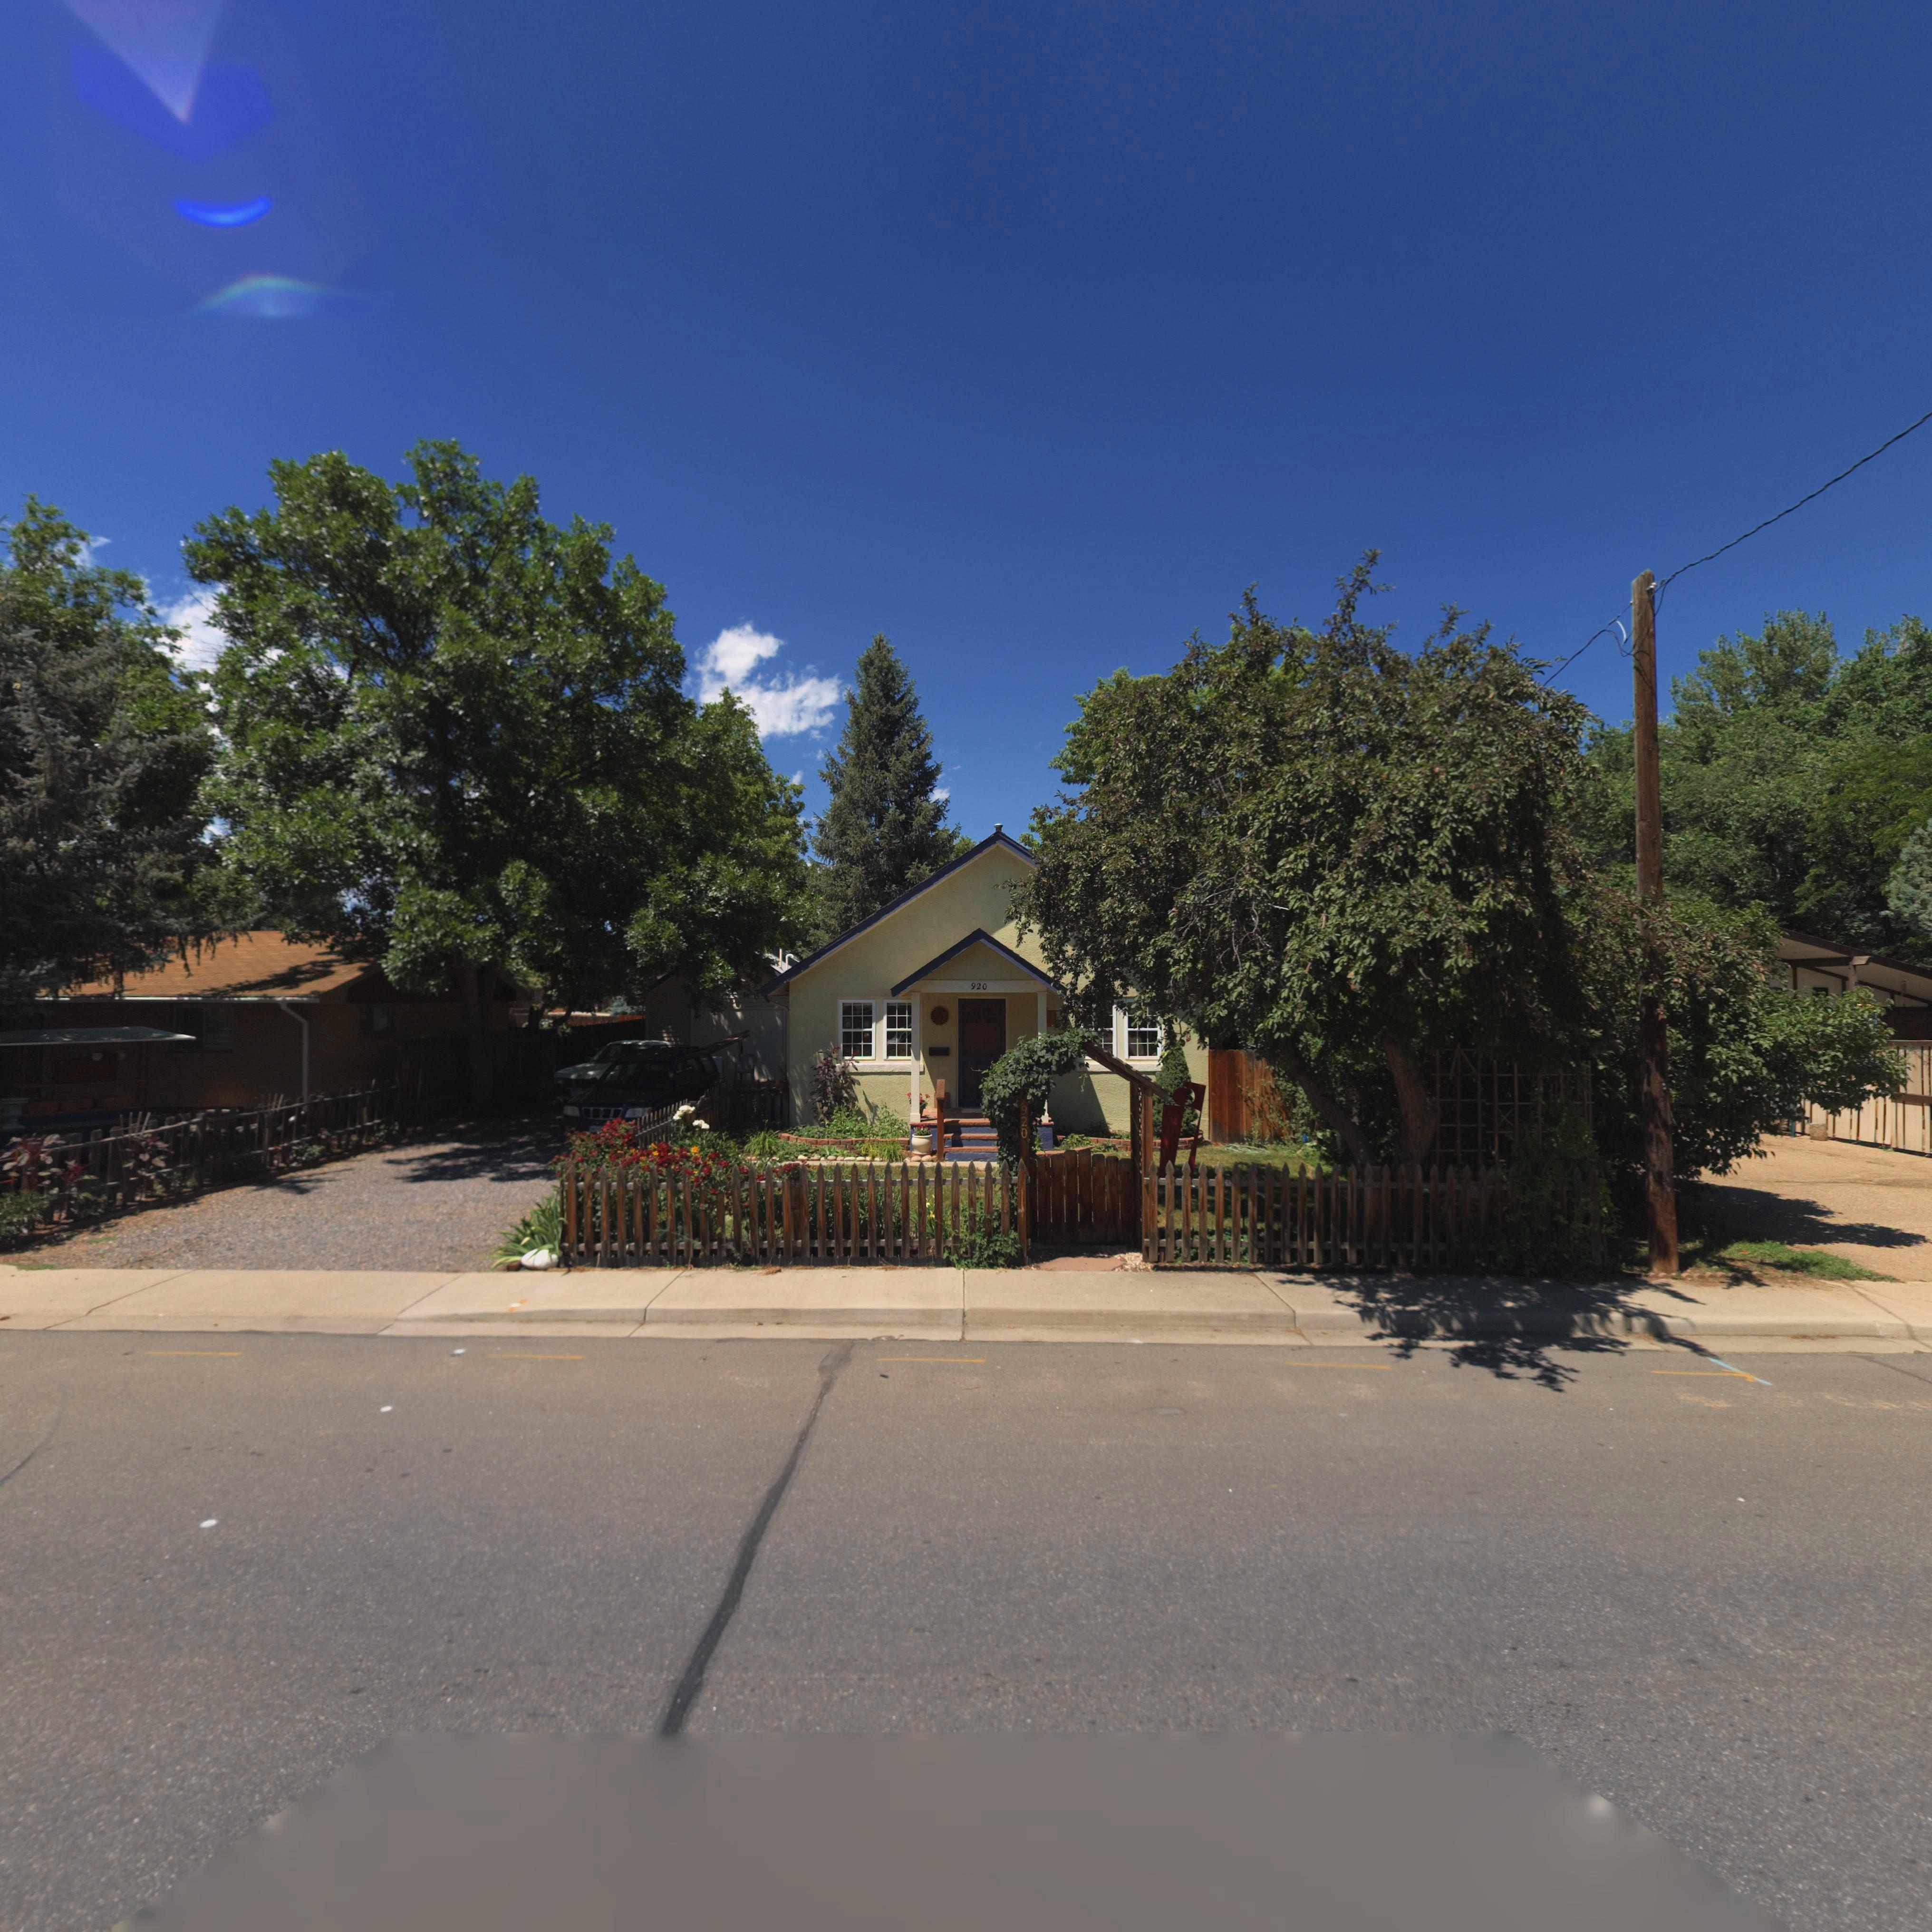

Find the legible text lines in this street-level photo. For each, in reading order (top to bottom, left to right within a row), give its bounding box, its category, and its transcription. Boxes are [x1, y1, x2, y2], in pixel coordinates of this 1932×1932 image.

[970, 982, 987, 990] StreetNumber: 920
[1020, 1105, 1027, 1138] StreetNumber: 920